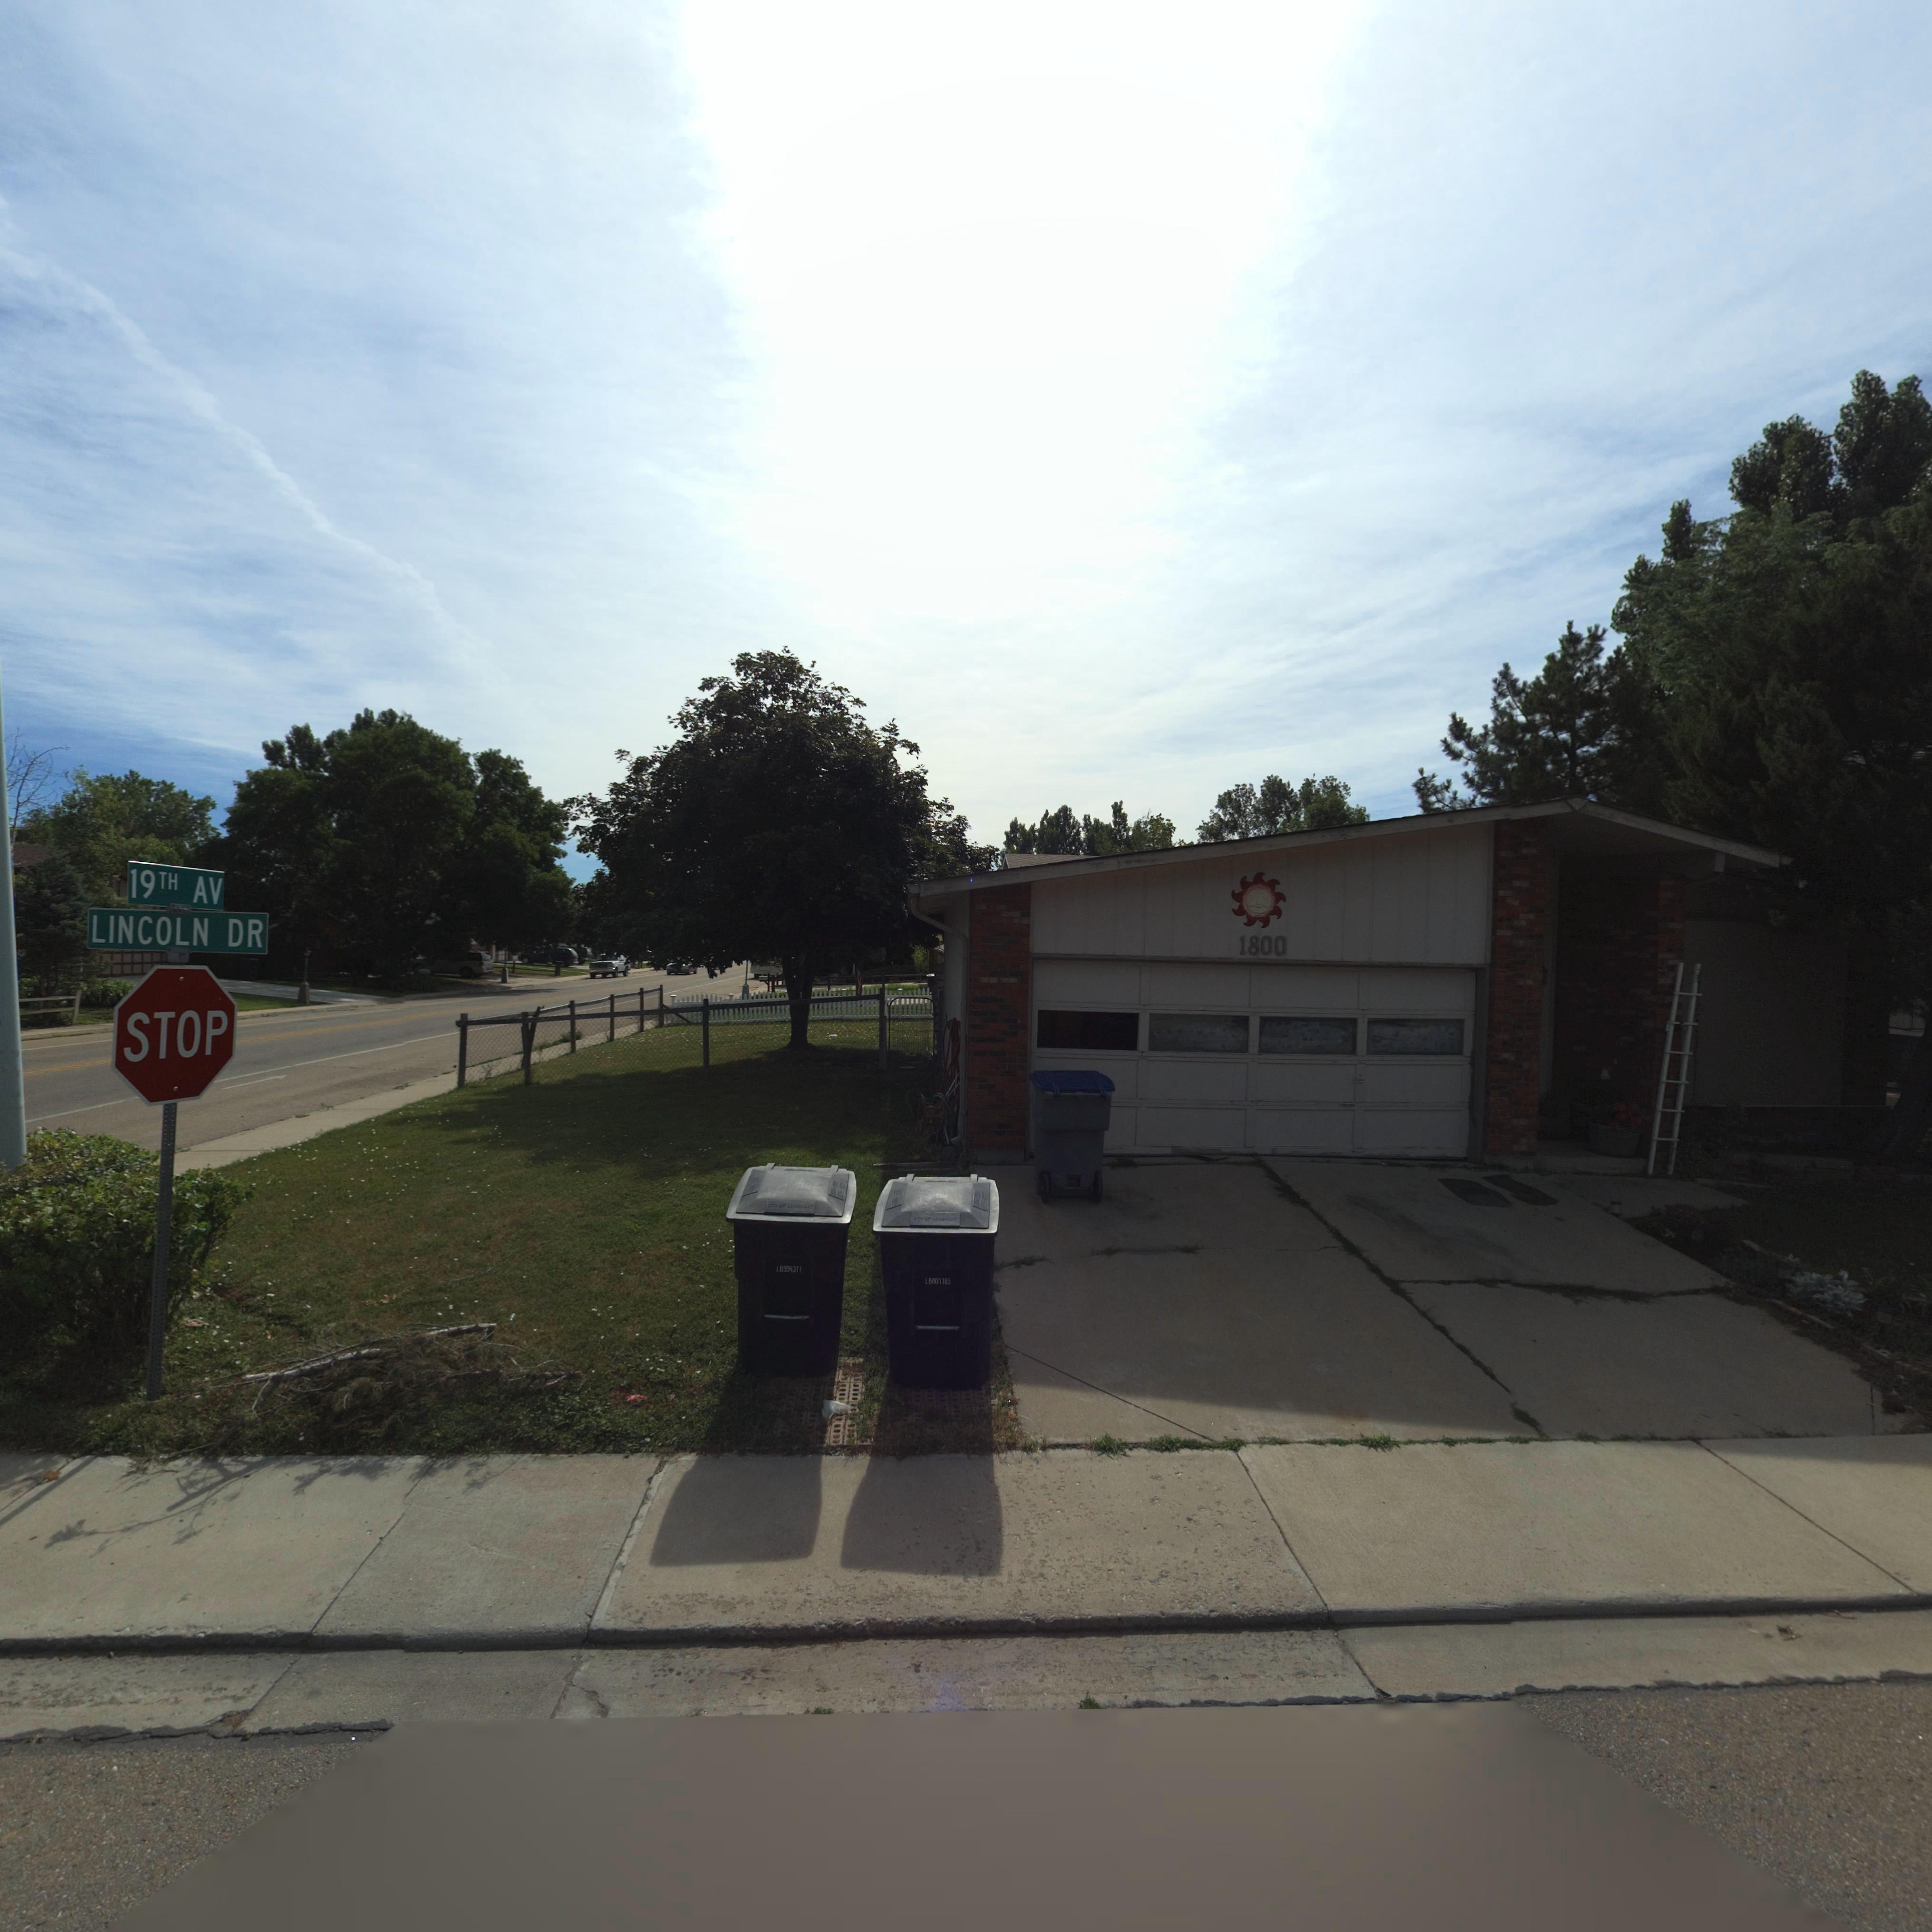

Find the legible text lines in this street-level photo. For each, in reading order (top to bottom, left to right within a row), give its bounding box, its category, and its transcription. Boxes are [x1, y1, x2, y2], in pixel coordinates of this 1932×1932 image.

[129, 867, 224, 905] StreetName: 19TH AV
[91, 914, 264, 949] StreetNumber: LINCOLN DR
[1239, 935, 1287, 956] StreetNumber: 1800